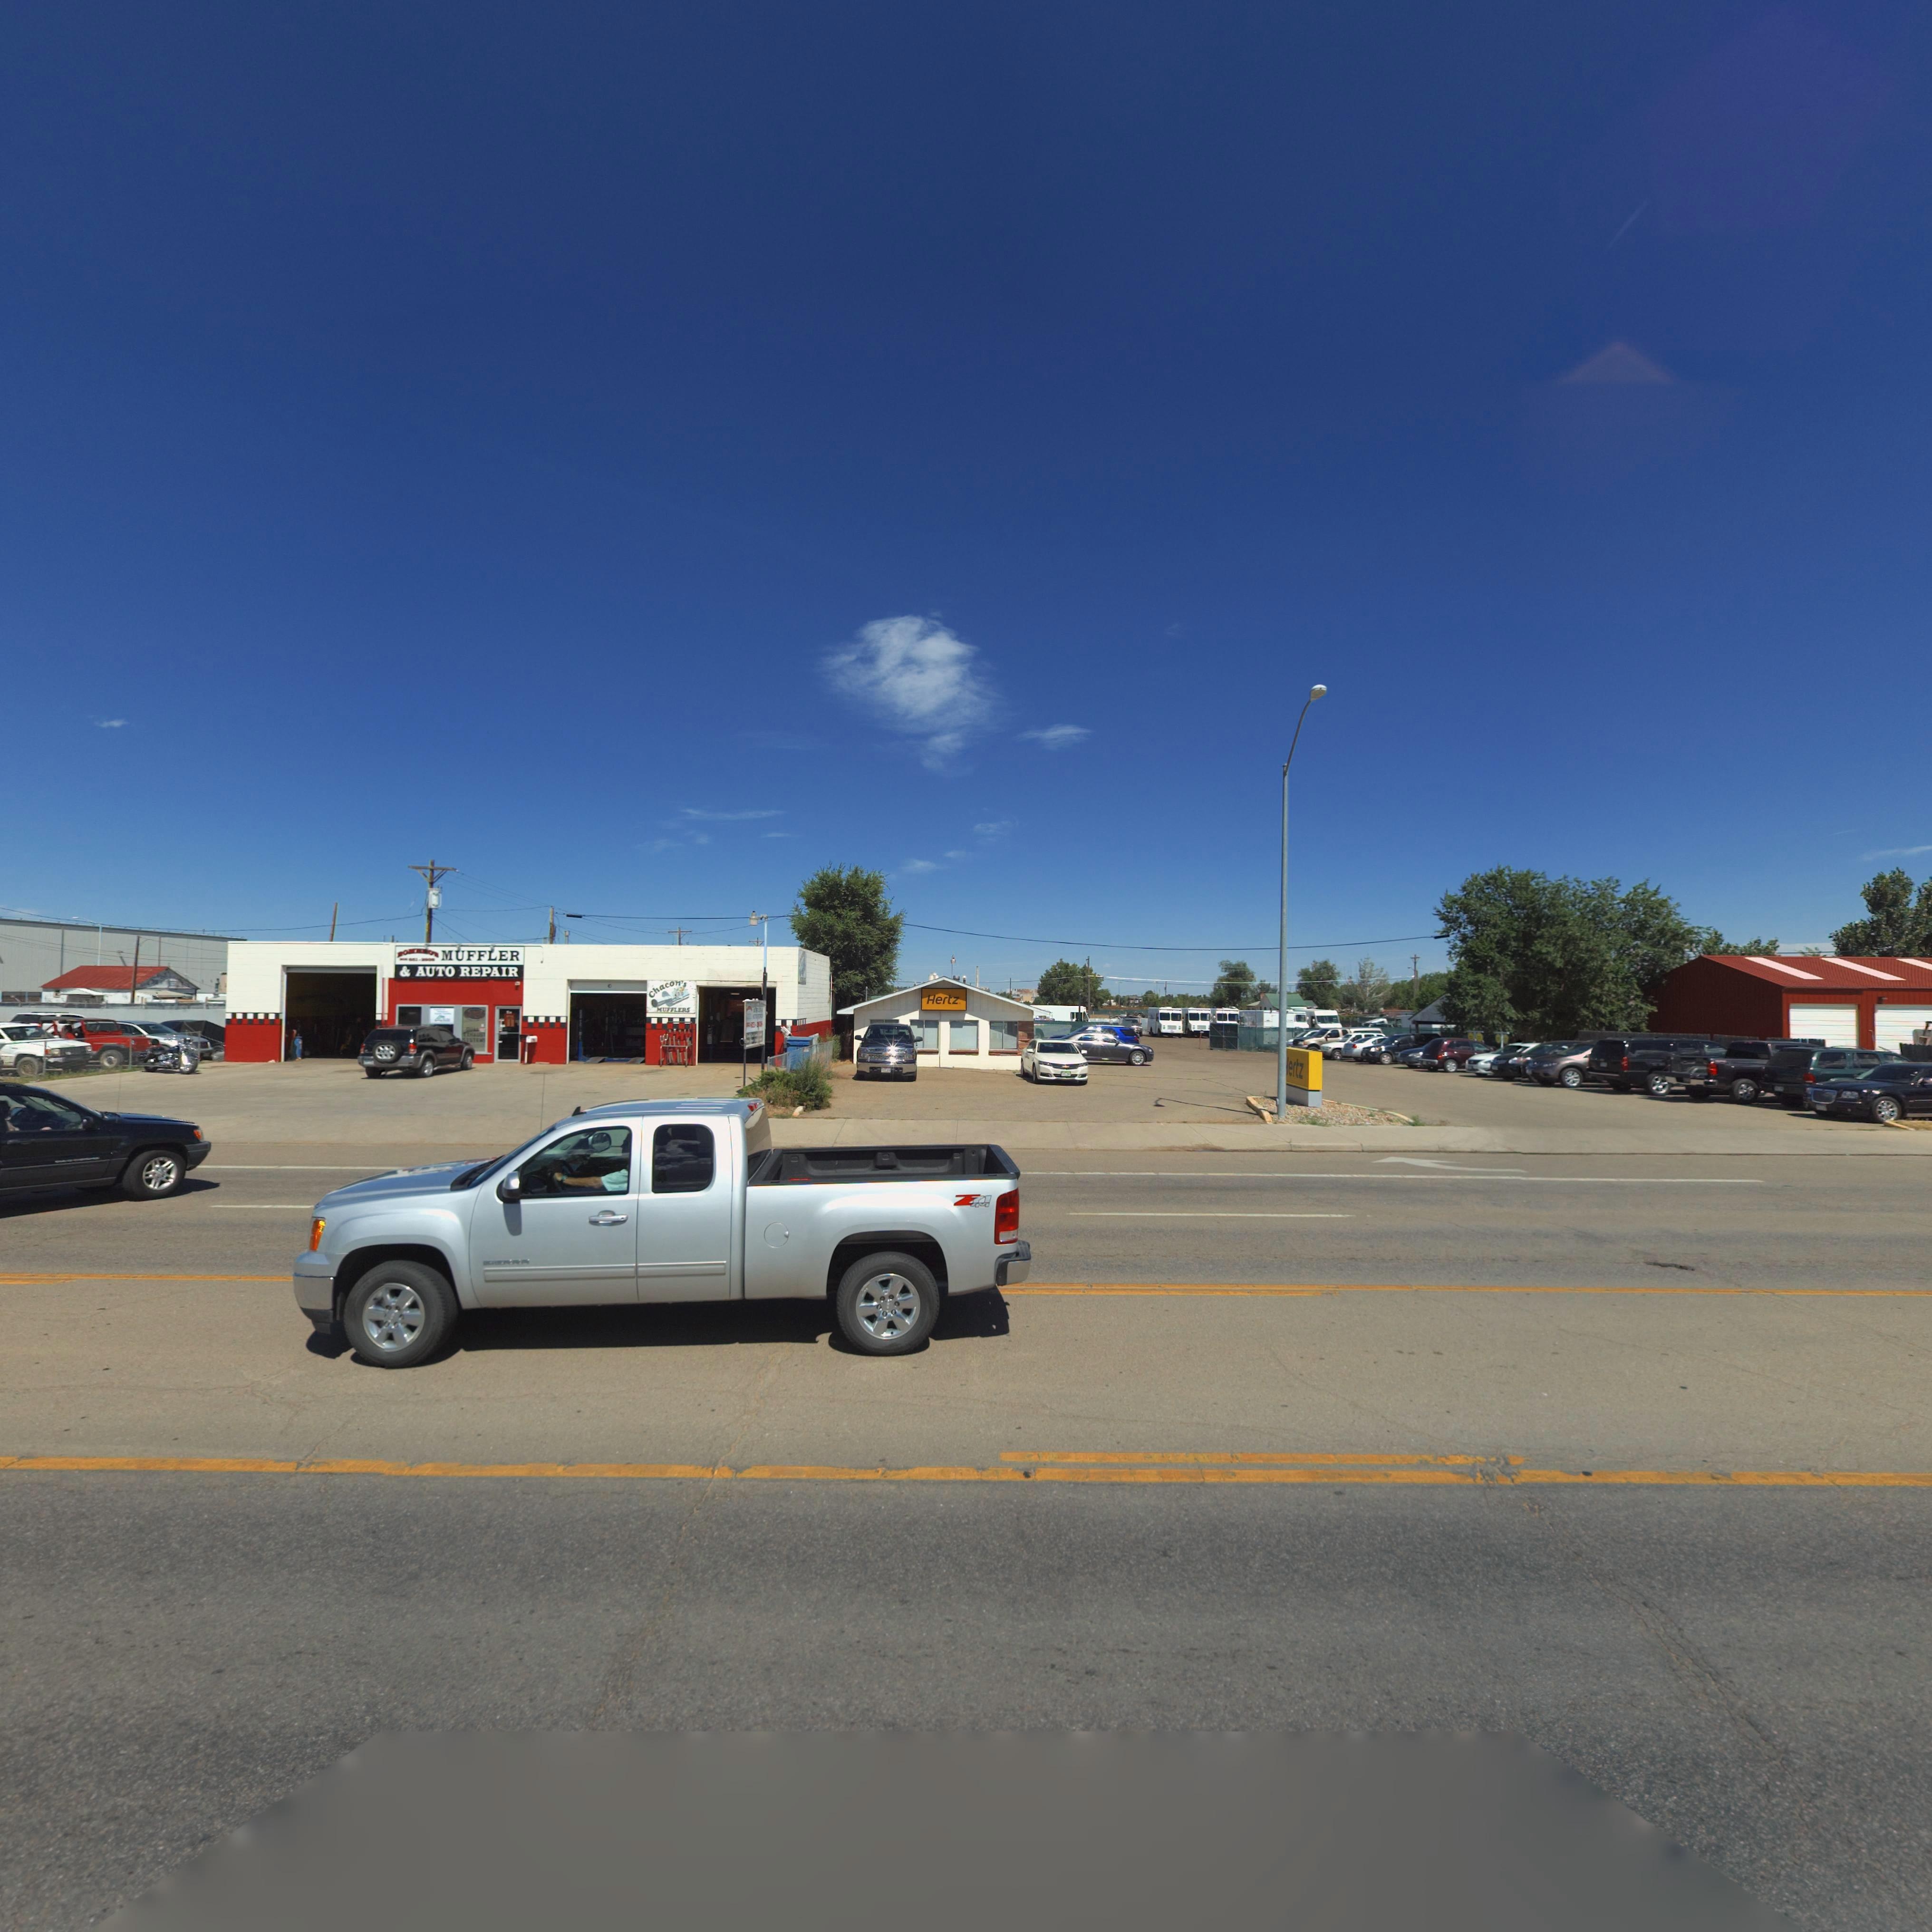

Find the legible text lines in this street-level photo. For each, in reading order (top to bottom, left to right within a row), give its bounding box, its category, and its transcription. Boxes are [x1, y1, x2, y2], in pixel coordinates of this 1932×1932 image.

[396, 947, 439, 959] BusinessName: RO*E*O'S
[440, 949, 520, 962] BusinessName: MUFFLER
[398, 966, 519, 977] BusinessName: & AUTO REPAIR
[648, 980, 688, 998] BusinessName: Chacon's
[926, 994, 959, 1005] BusinessName: Hertz
[656, 1007, 691, 1013] BusinessName: MUFFLERS
[1288, 1058, 1304, 1080] BusinessName: ertz